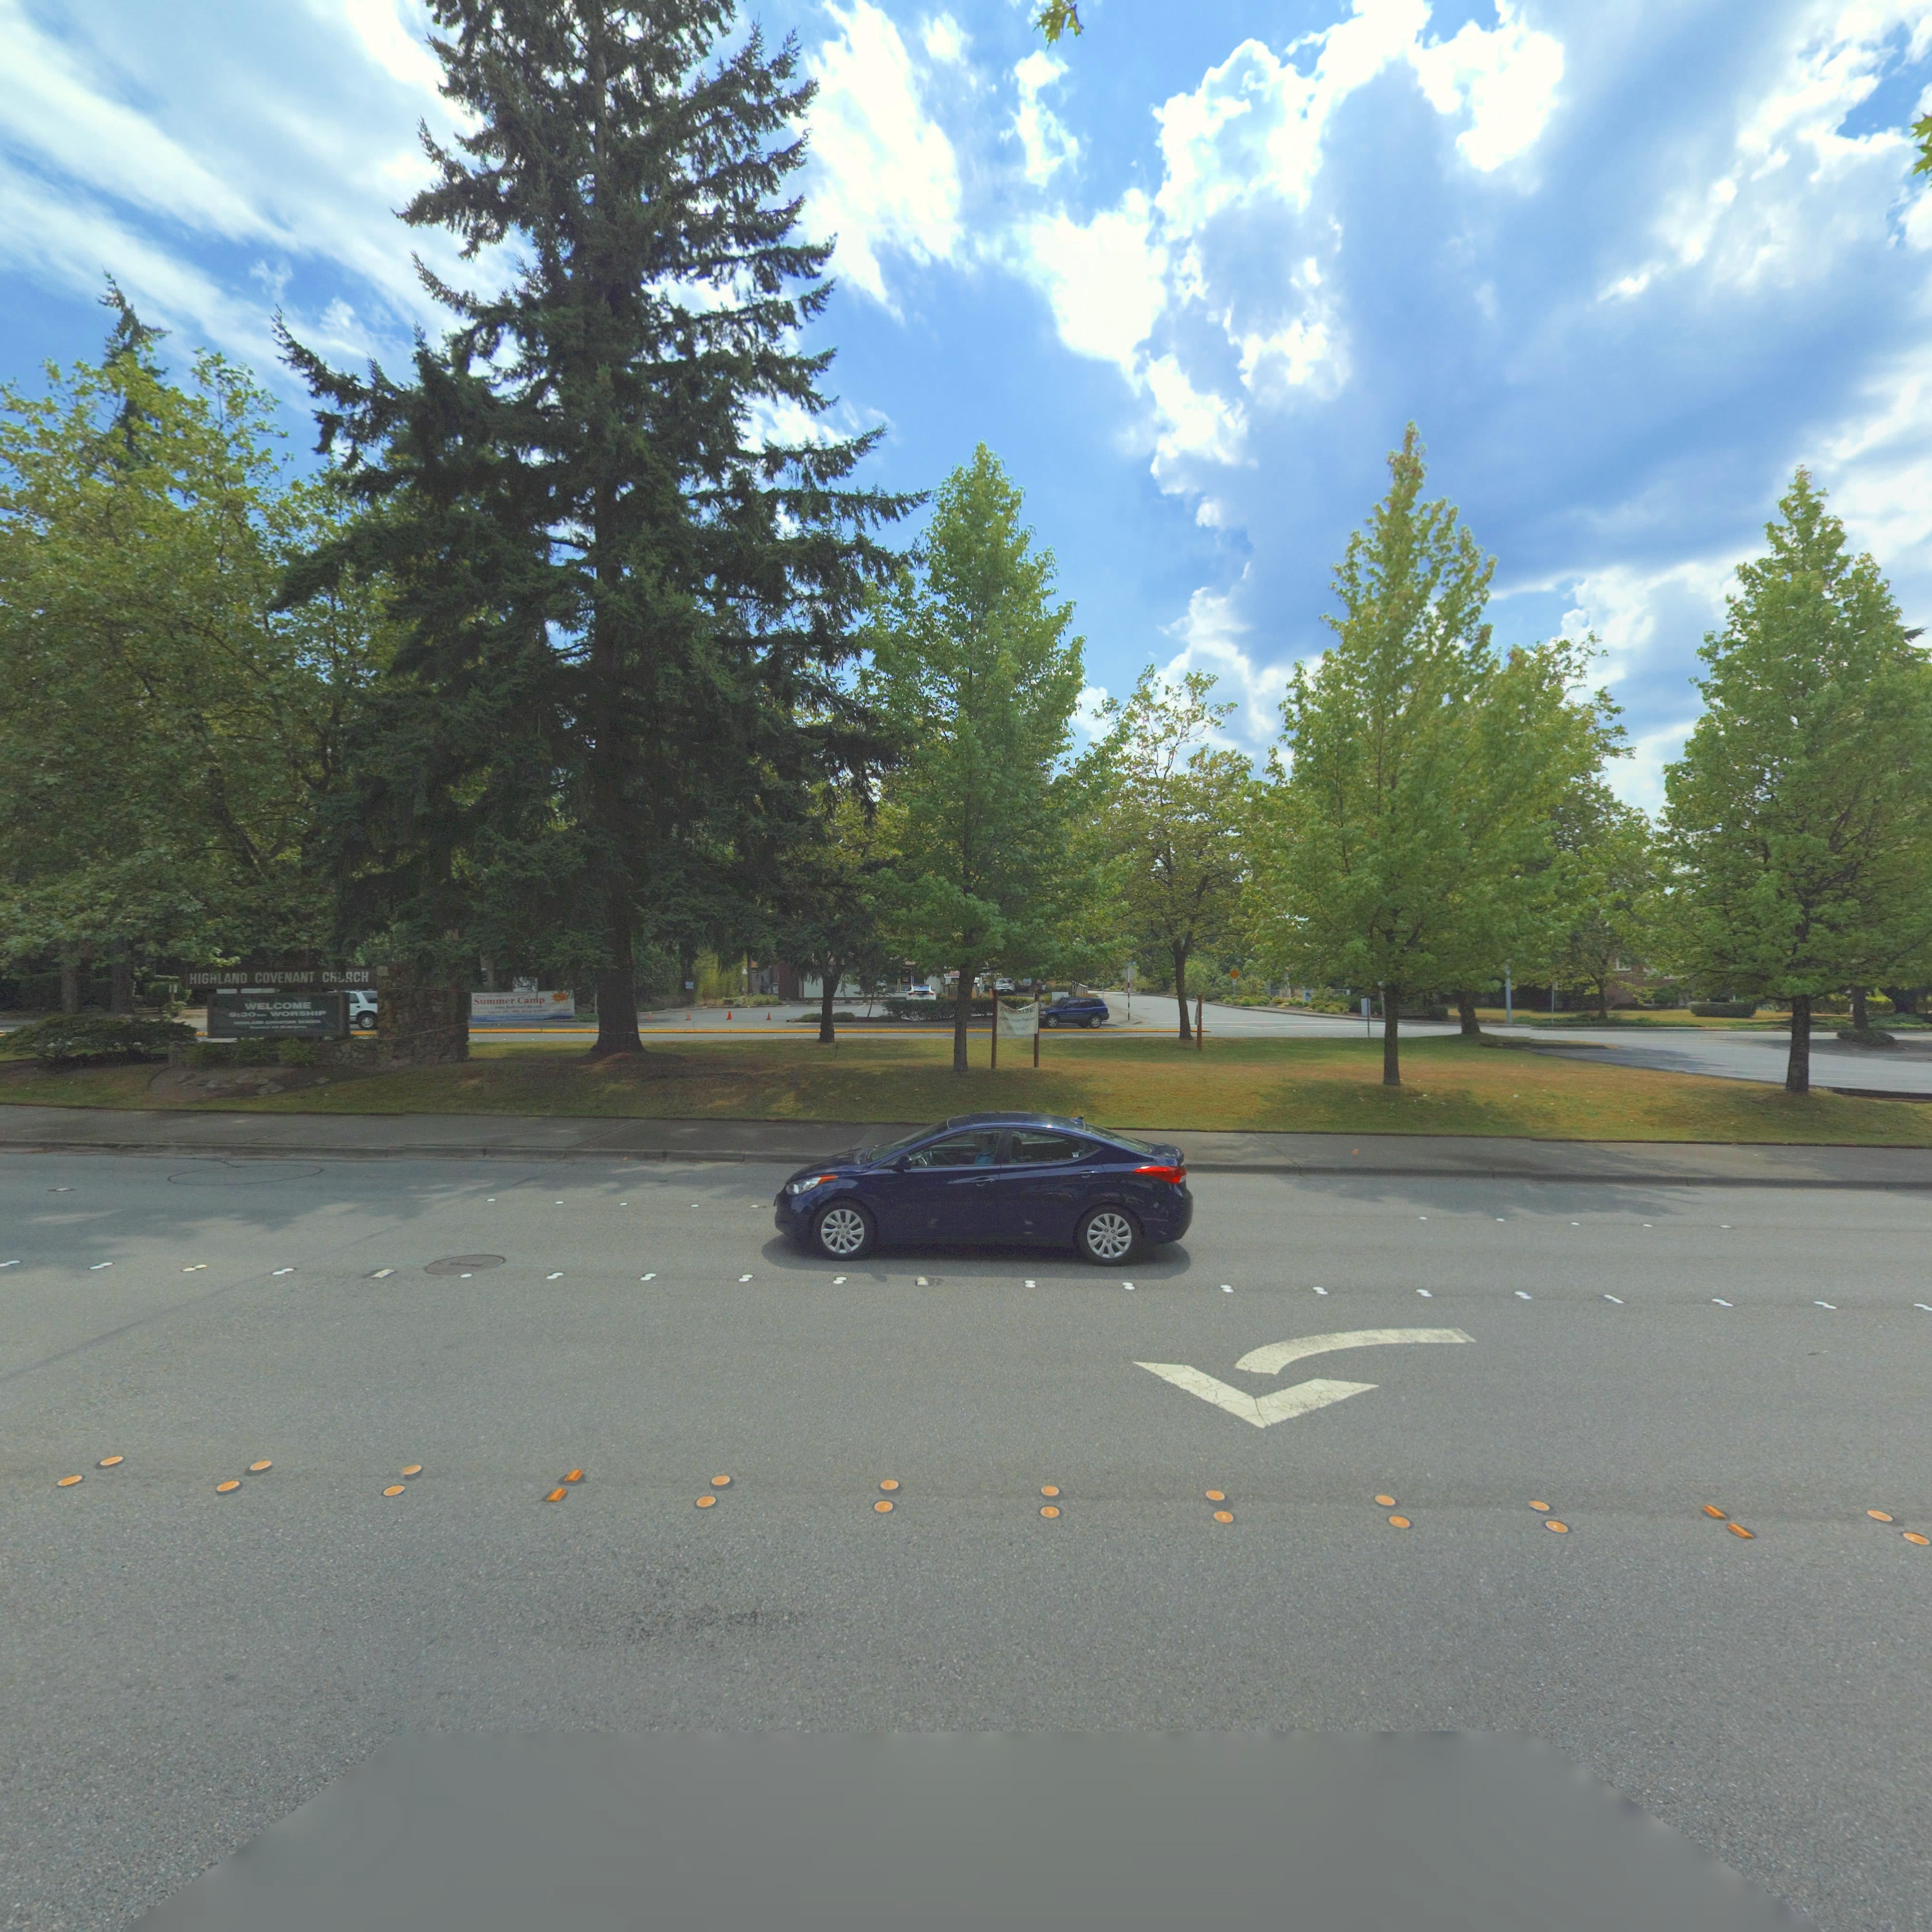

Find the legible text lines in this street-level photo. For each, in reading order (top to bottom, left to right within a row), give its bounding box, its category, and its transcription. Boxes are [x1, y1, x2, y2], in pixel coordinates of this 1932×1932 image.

[189, 969, 369, 985] BusinessName: HIGHLAND COVENANT CH*RCH